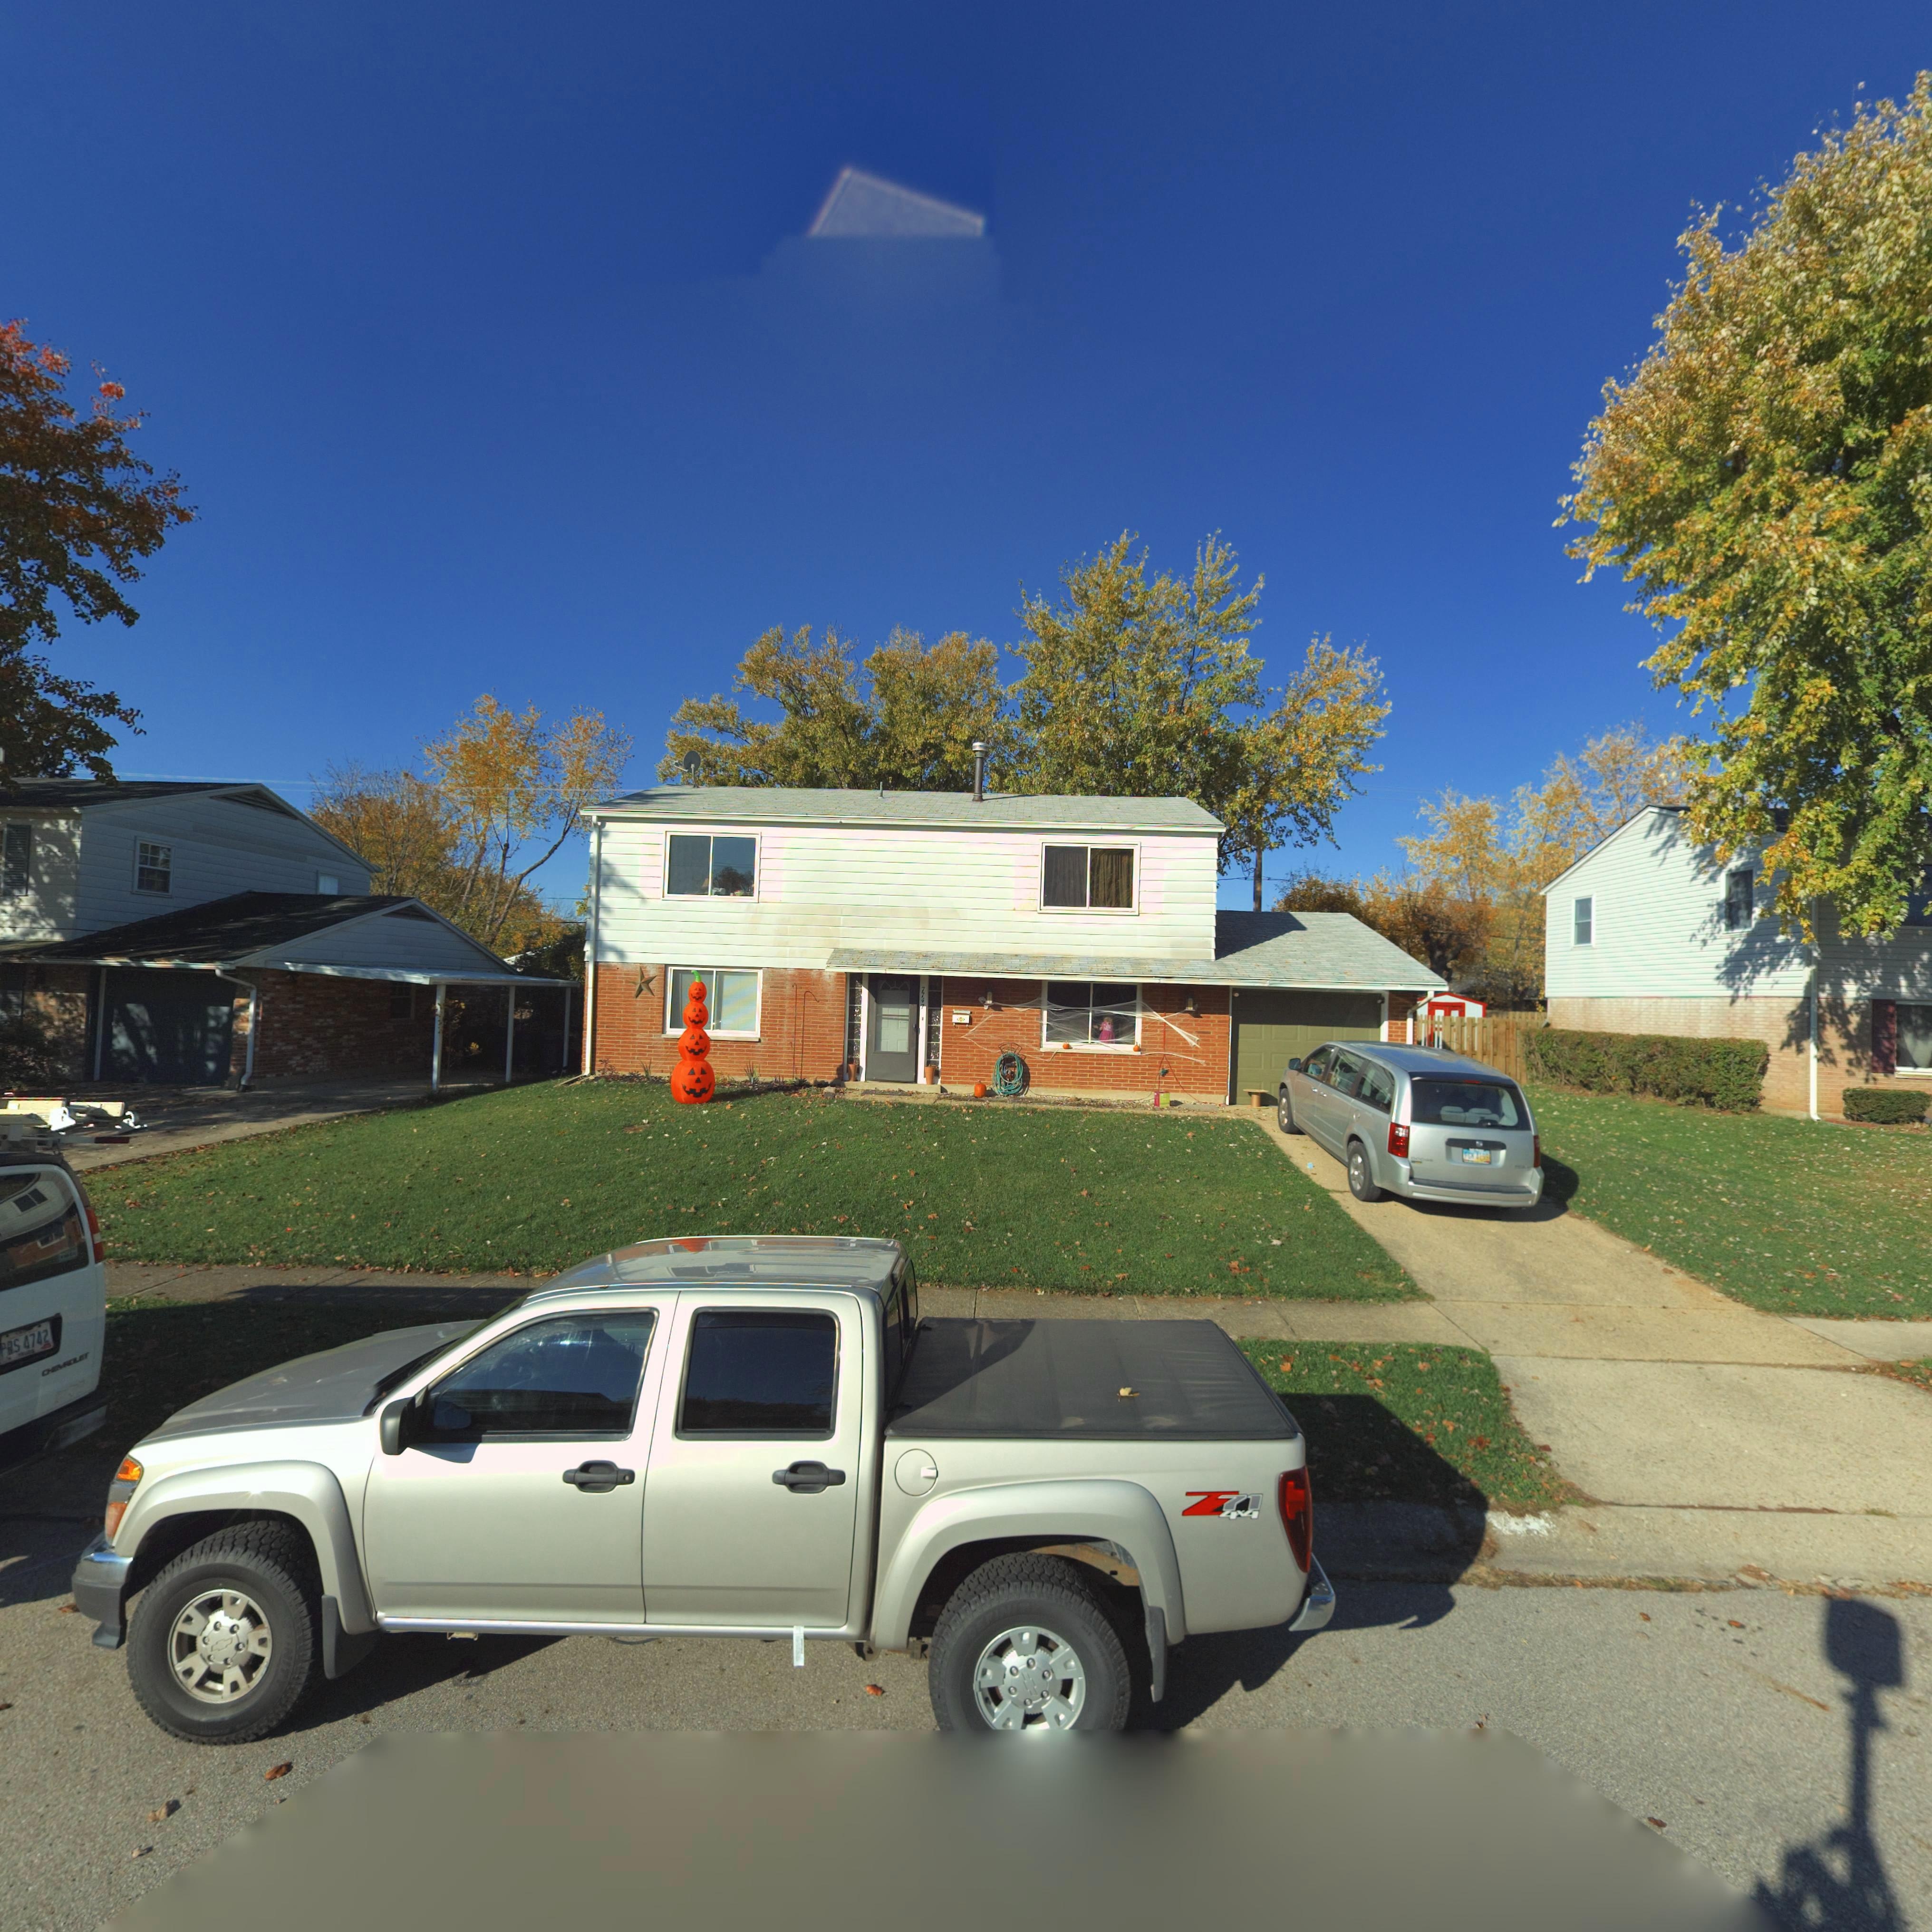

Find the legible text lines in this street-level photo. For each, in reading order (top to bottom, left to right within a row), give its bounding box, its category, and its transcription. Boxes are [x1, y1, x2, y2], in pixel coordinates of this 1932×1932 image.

[919, 985, 926, 1010] StreetNumber: 7747